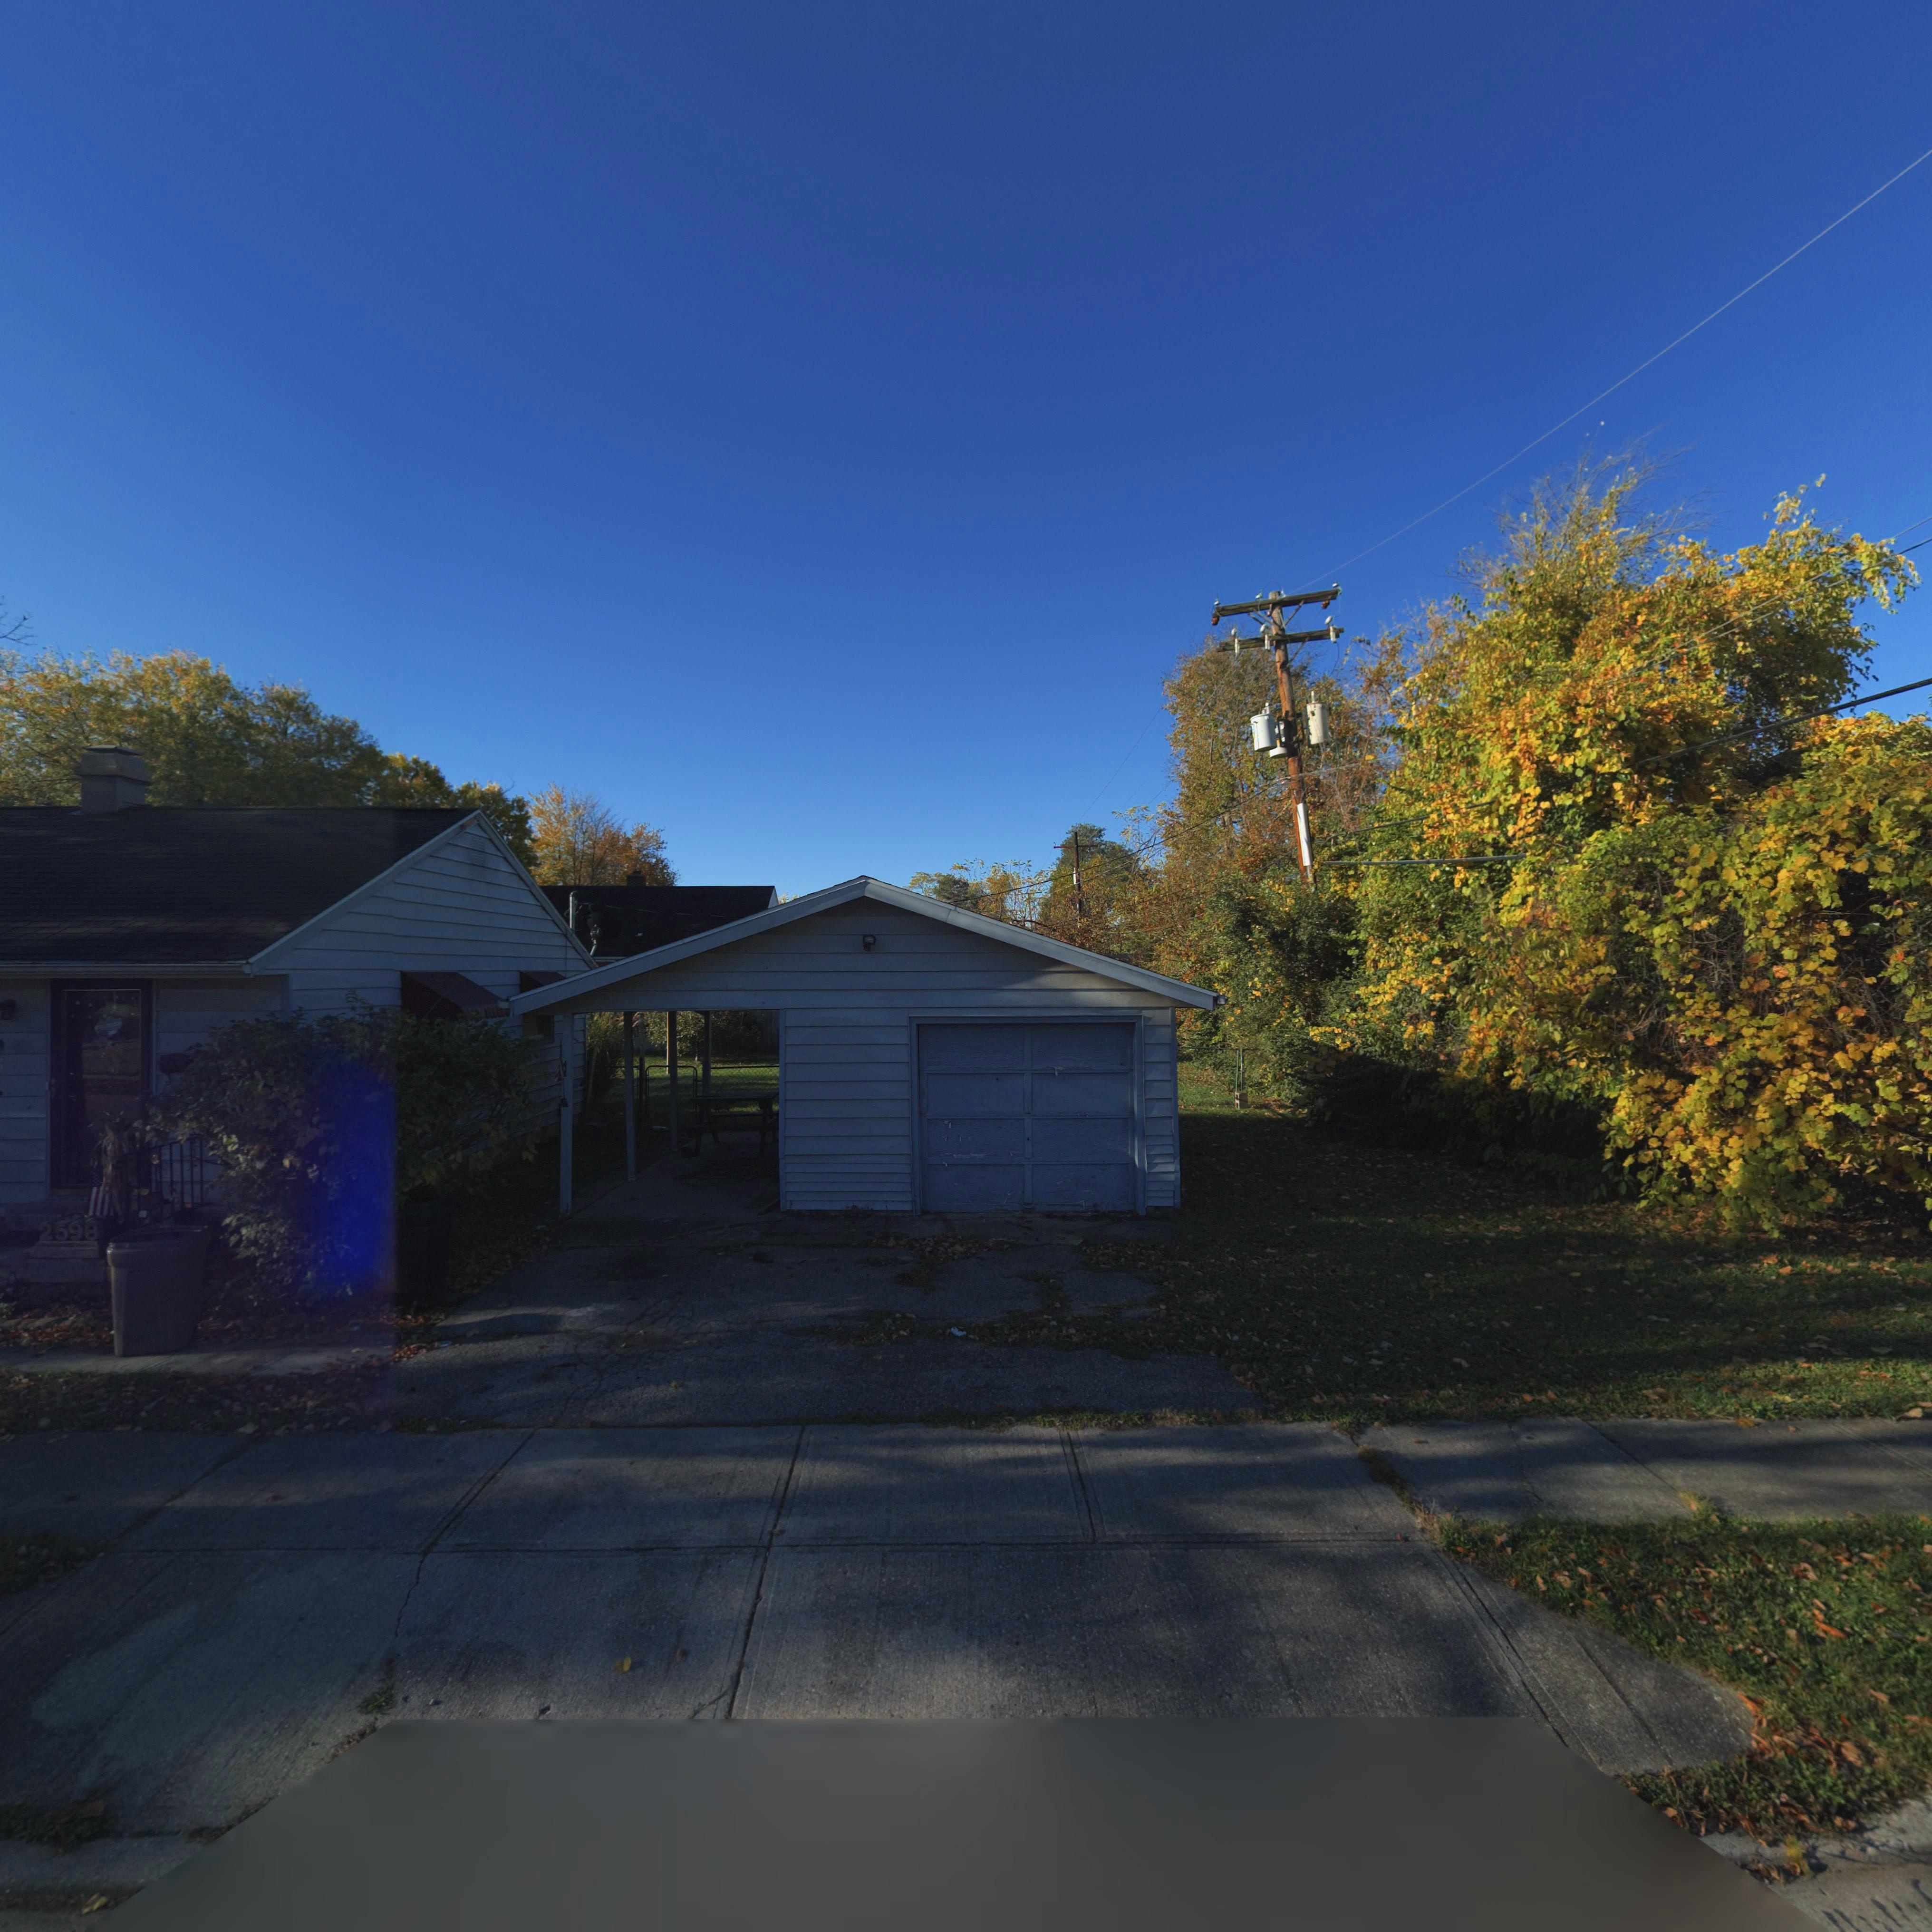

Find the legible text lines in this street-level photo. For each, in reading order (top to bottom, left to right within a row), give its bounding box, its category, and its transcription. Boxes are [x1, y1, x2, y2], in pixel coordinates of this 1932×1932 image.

[37, 1220, 98, 1239] StreetNumber: 2598